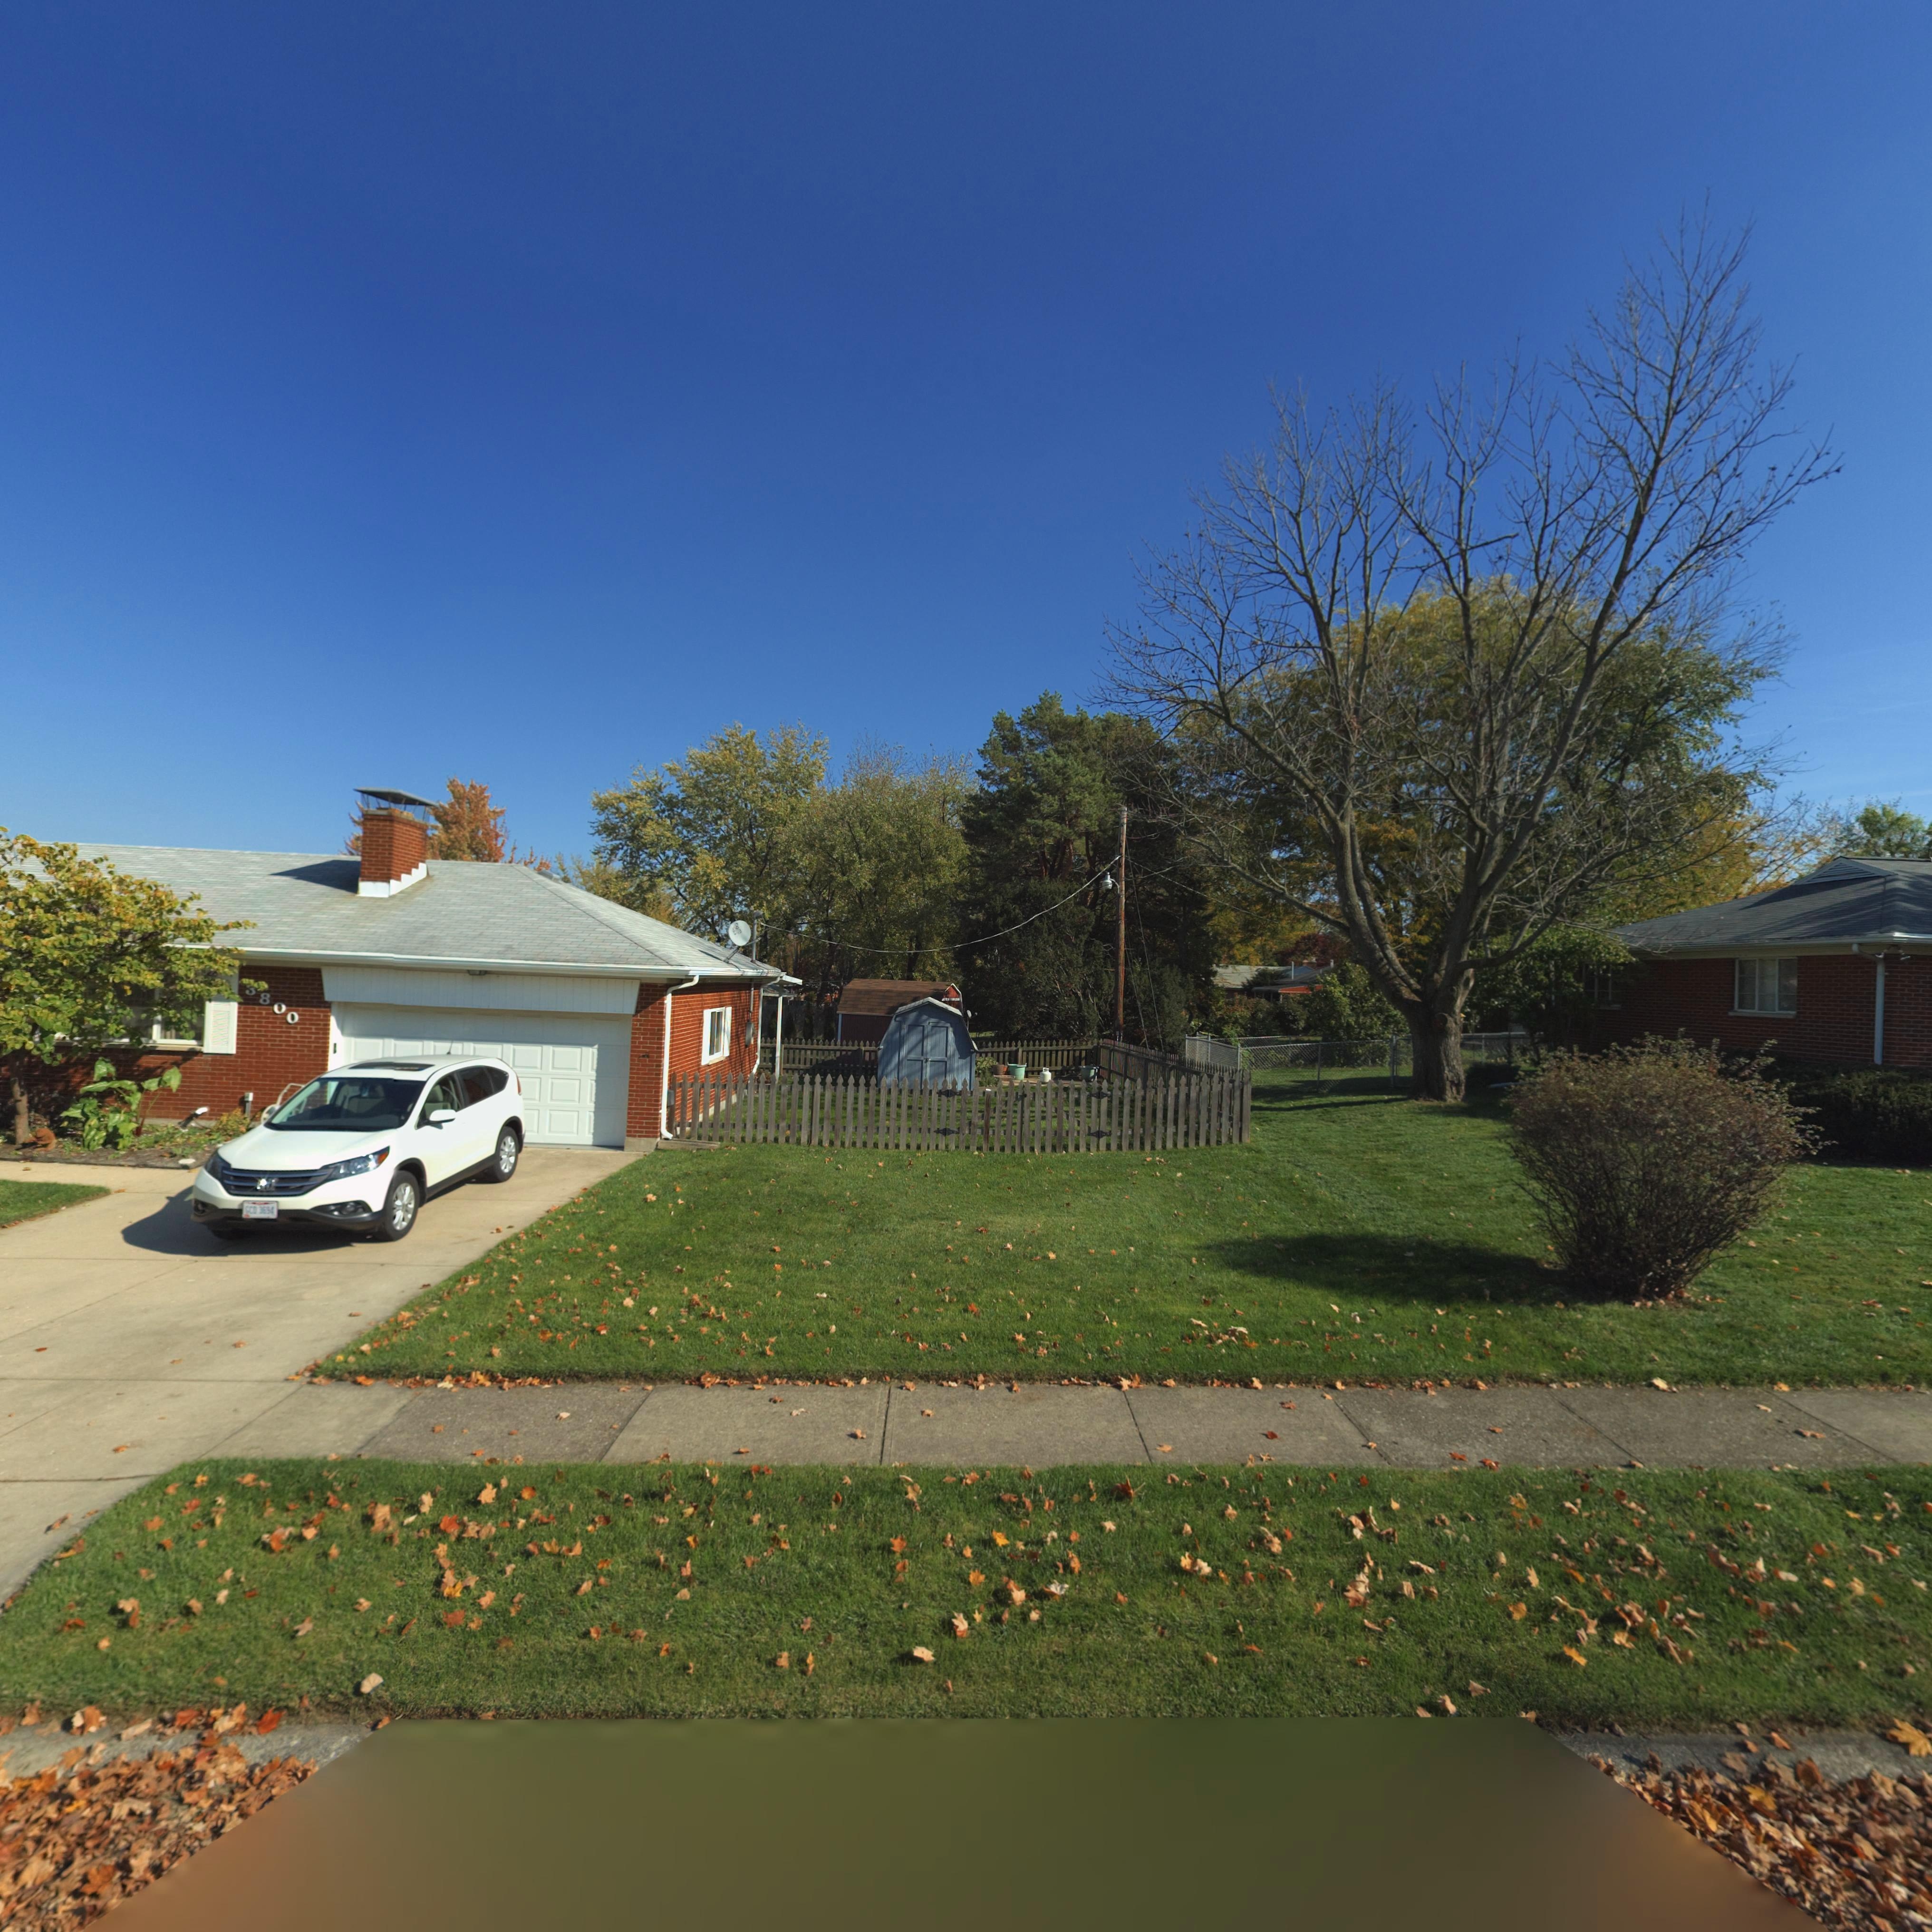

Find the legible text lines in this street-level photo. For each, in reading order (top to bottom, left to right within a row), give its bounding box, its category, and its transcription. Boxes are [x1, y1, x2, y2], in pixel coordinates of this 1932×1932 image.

[243, 983, 300, 1026] StreetNumber: *800
[258, 1204, 276, 1216] None: *6**